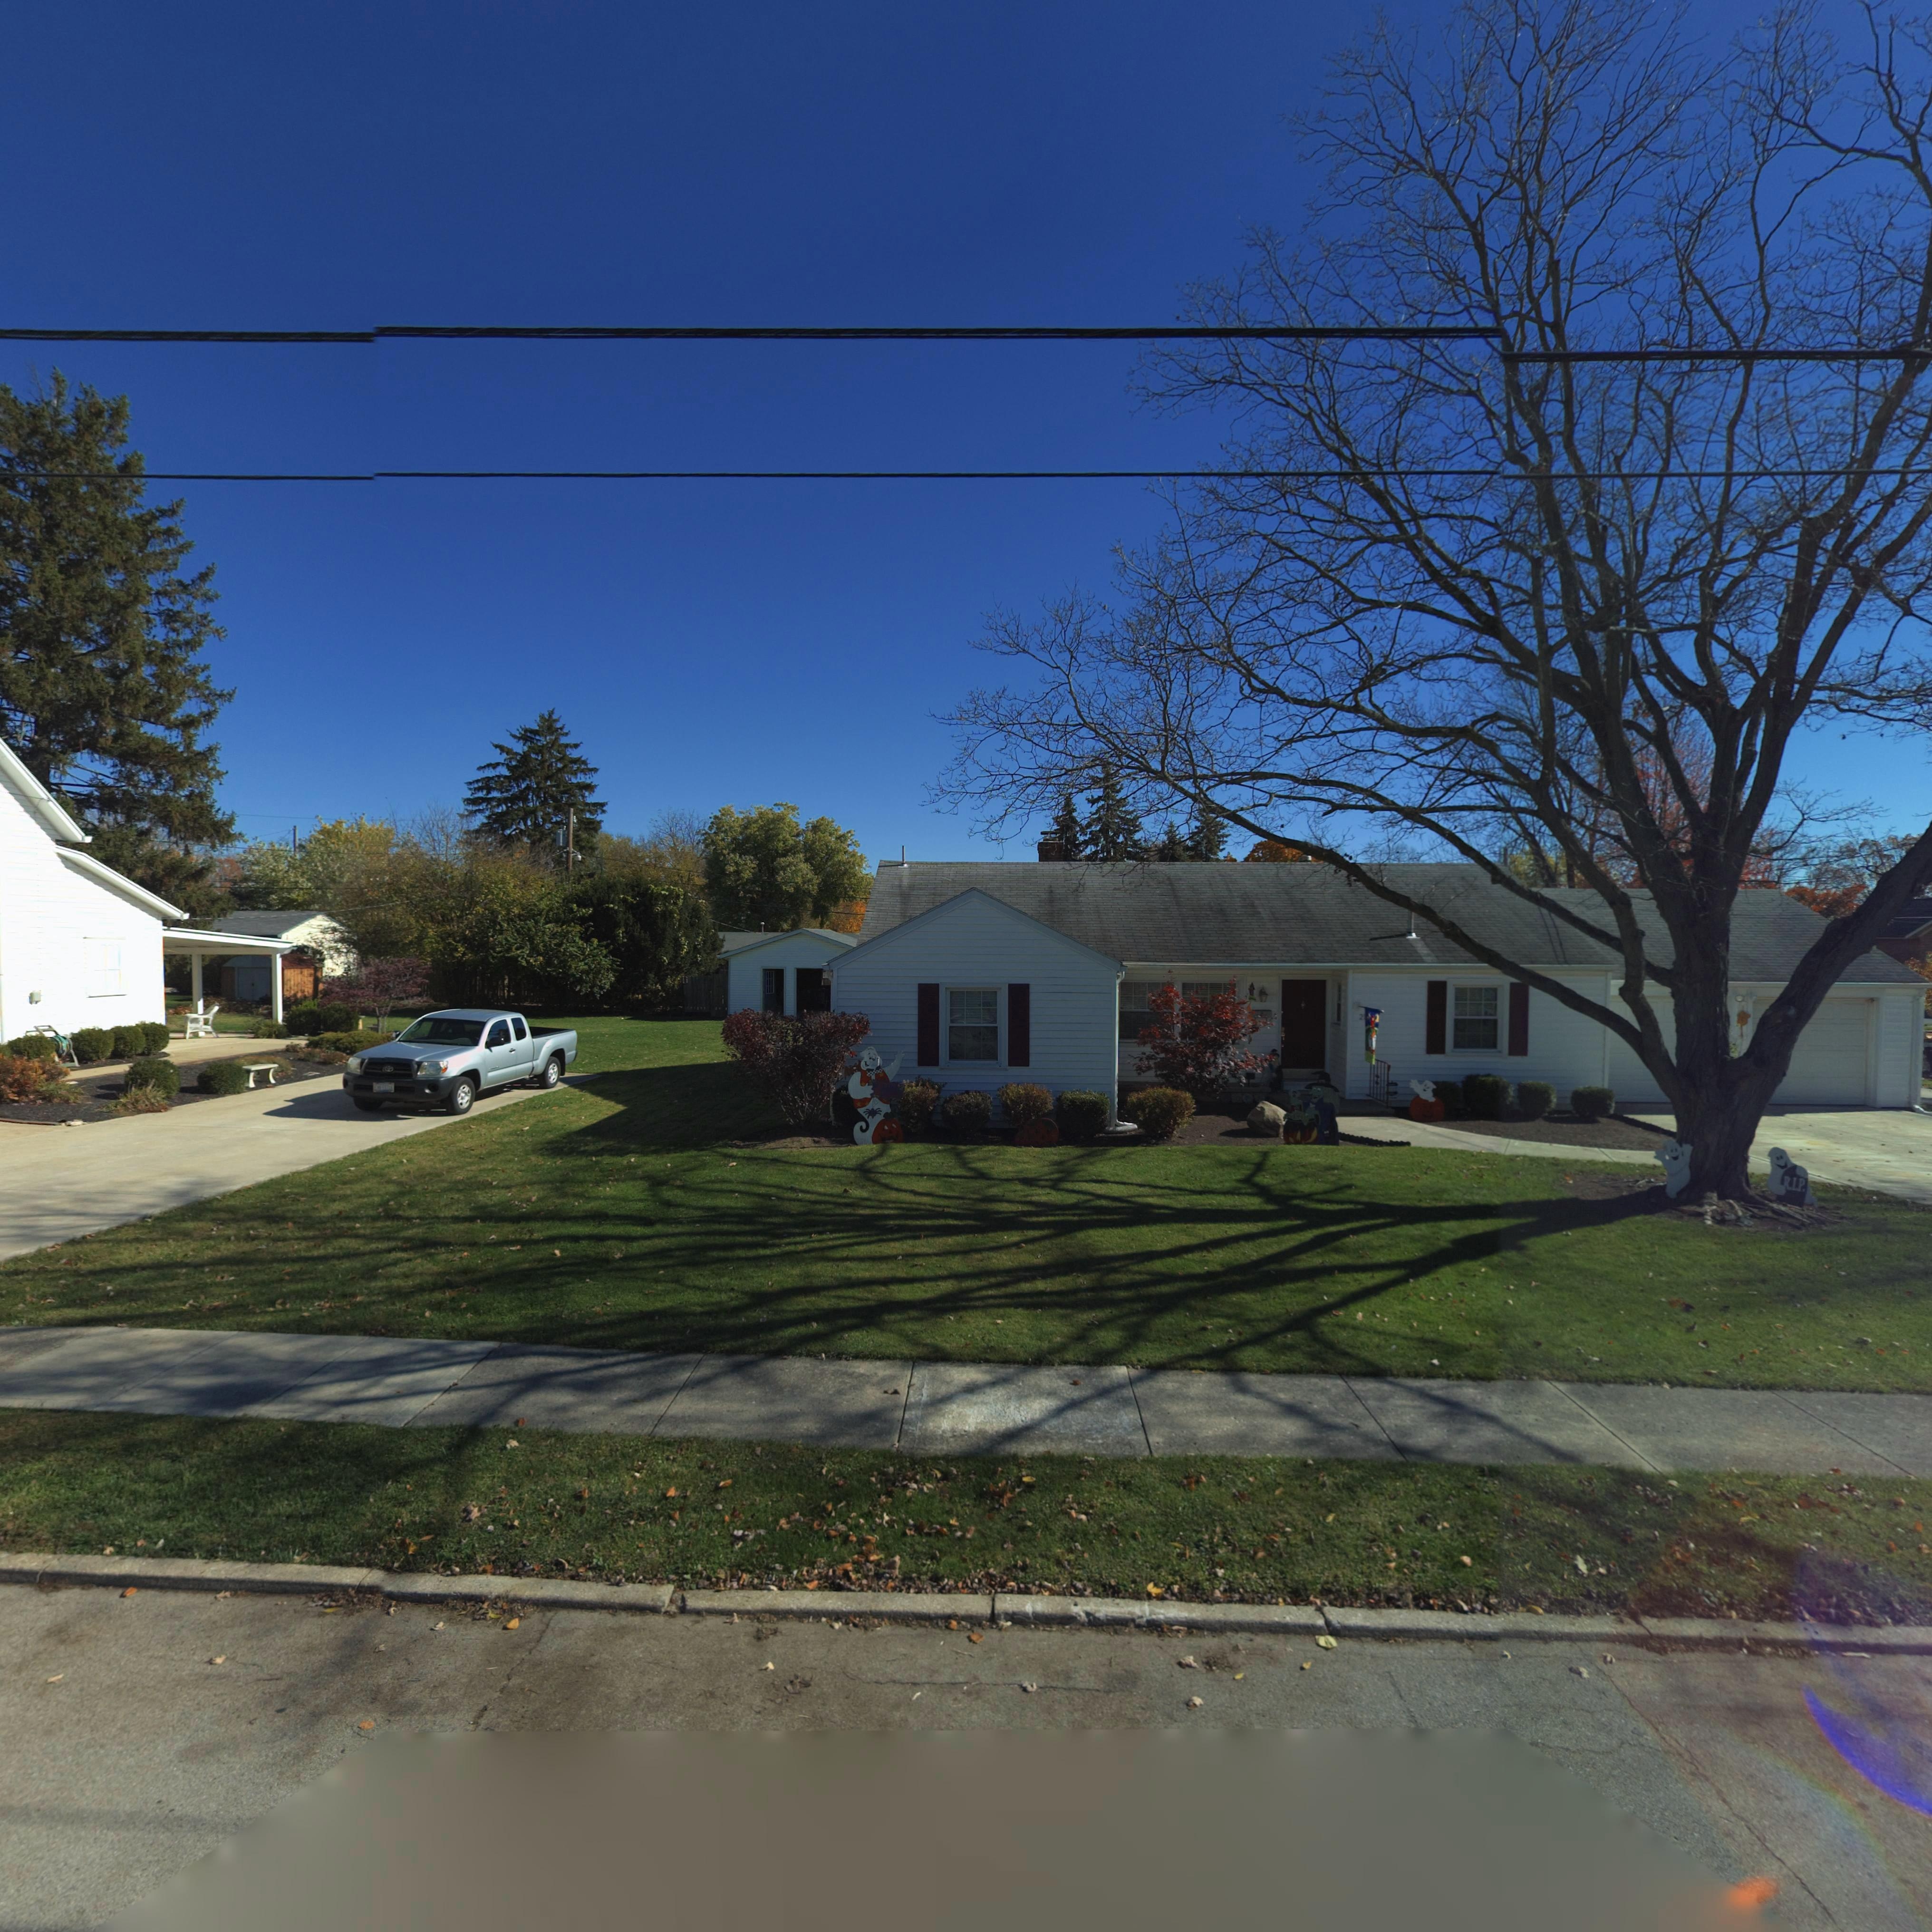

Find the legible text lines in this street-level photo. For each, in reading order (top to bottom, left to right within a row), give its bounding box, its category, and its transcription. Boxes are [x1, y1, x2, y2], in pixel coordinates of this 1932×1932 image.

[1359, 1014, 1363, 1020] StreetNumber: 2
[1791, 1176, 1807, 1192] None: I.P